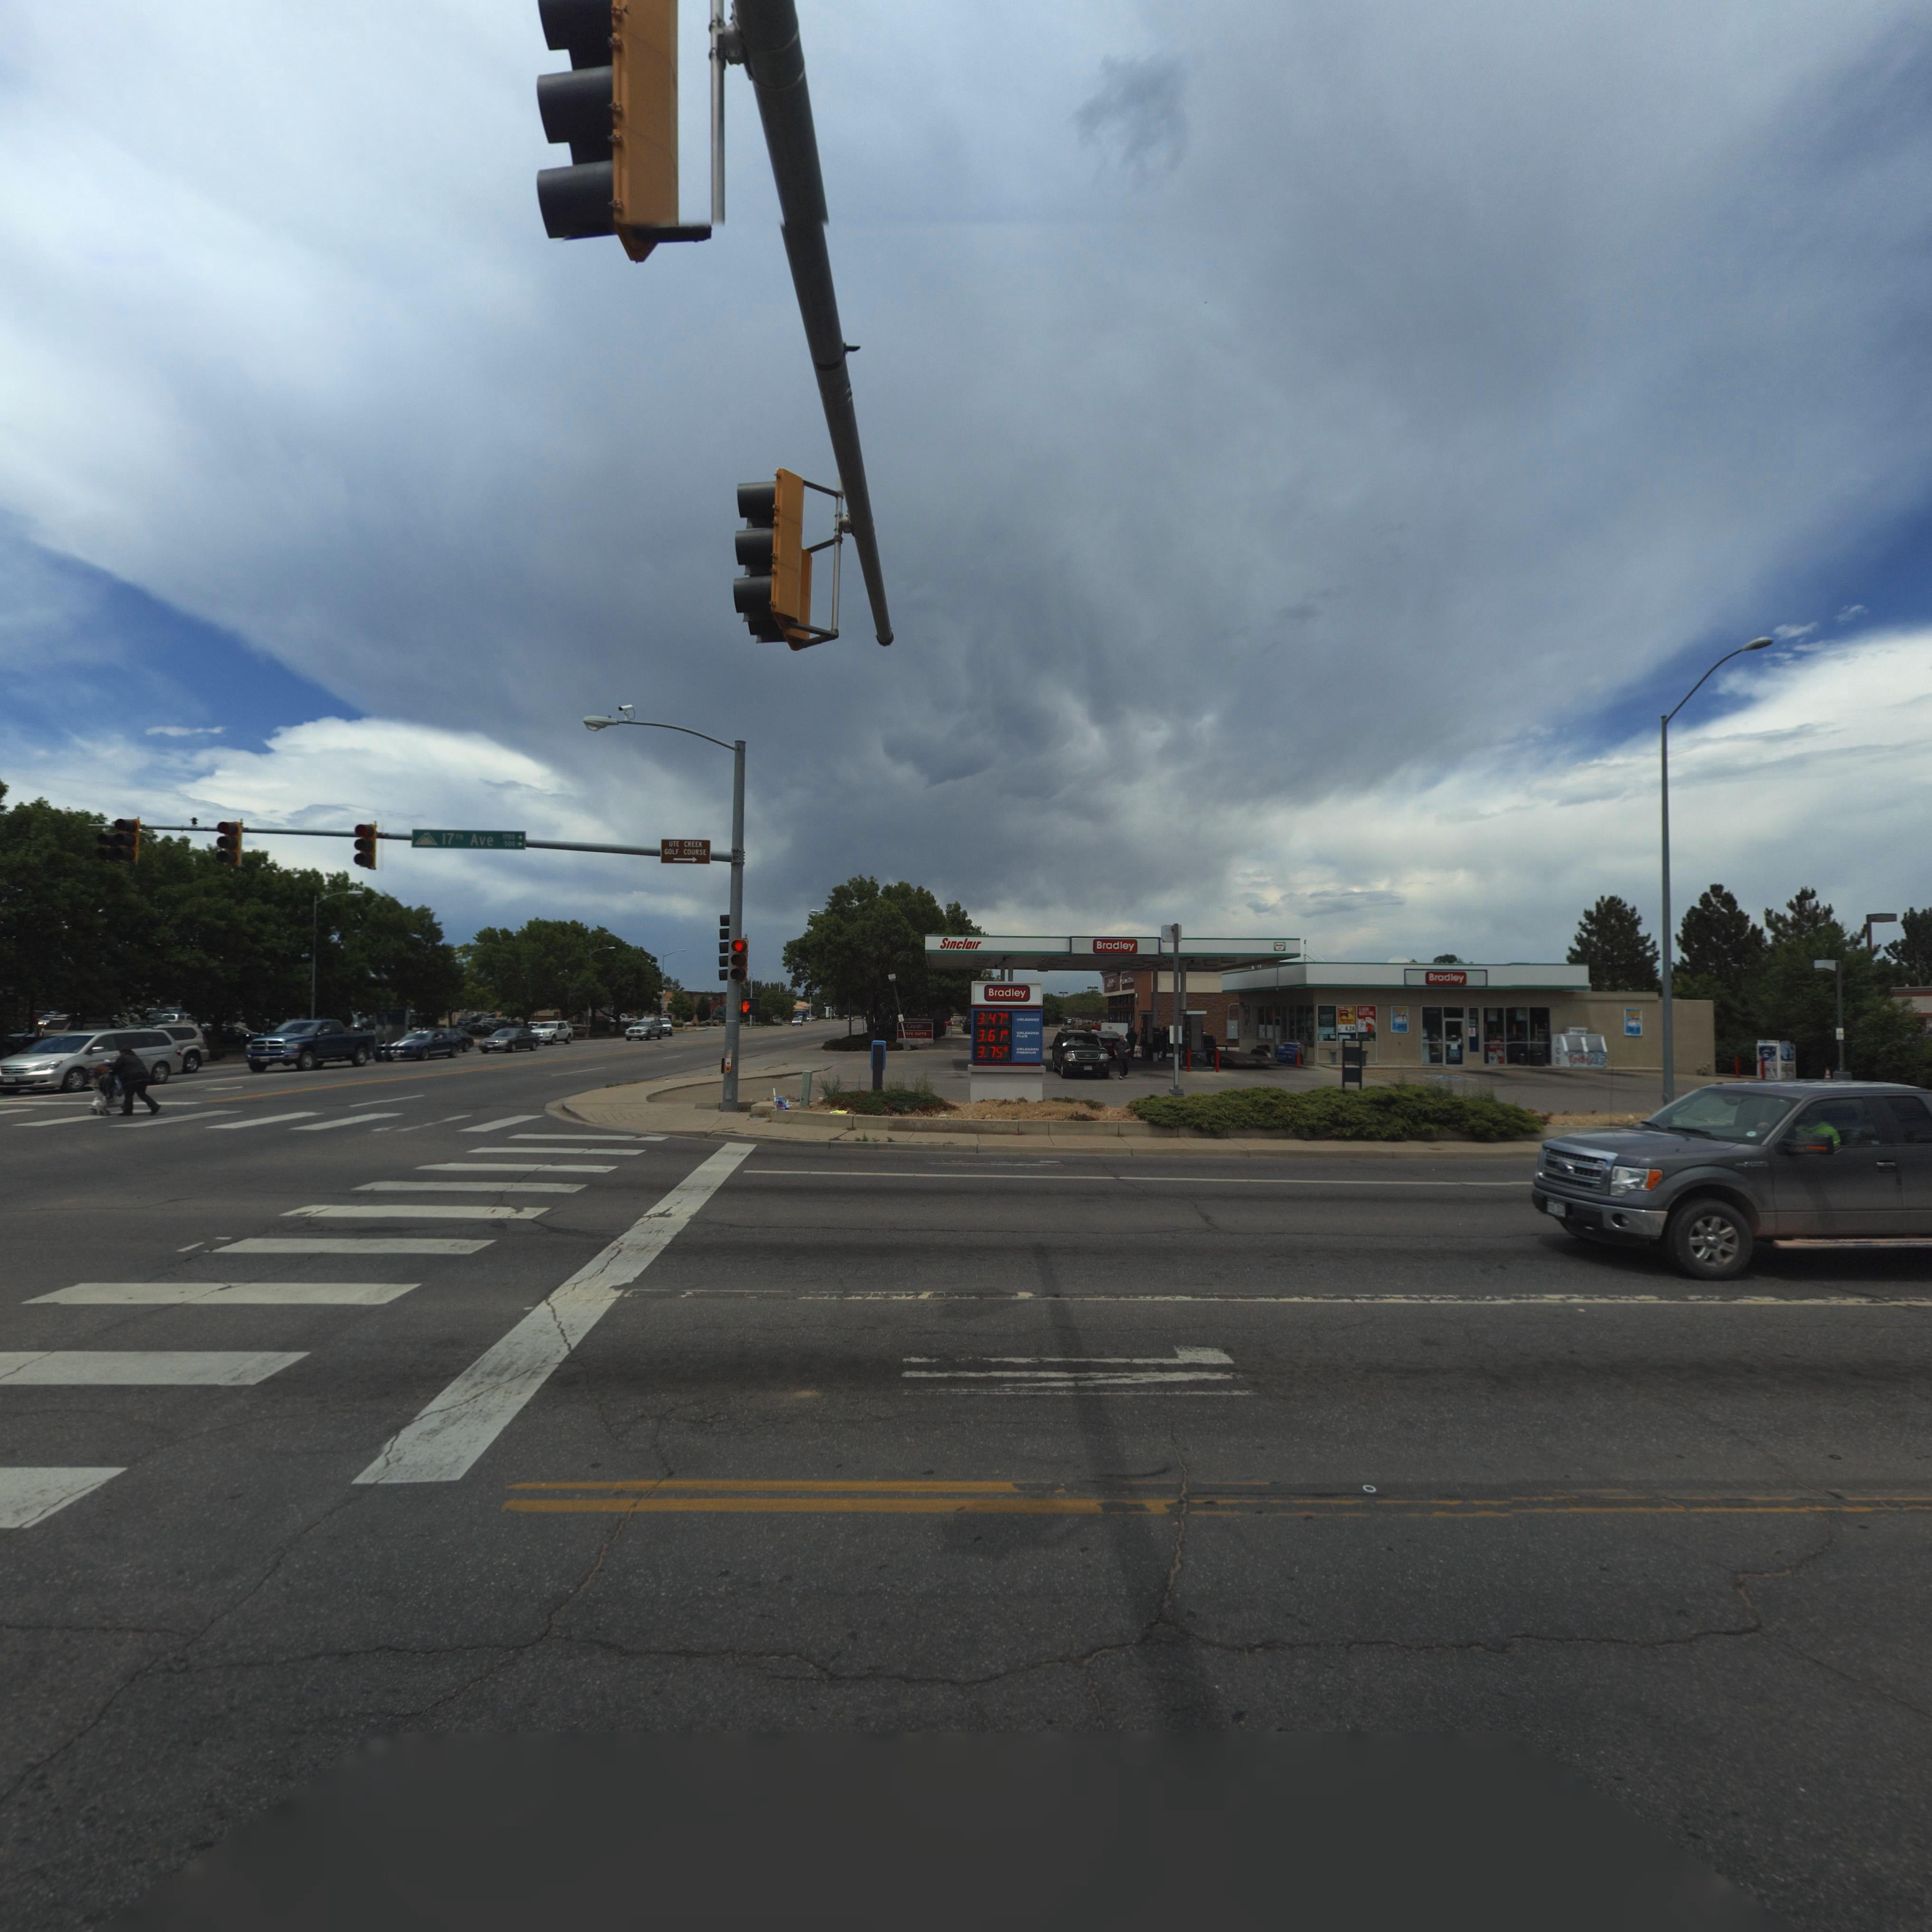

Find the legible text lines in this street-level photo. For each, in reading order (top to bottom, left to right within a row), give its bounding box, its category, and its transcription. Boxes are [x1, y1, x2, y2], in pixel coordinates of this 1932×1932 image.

[441, 832, 494, 846] StreetName: 17** Ave
[502, 833, 516, 840] StreetNumberRange: *7*0
[503, 840, 523, 847] StreetNumberRange: 500*
[939, 937, 982, 949] BusinessName: SInclaIr
[1096, 940, 1135, 952] BusinessName: Bradley
[1428, 973, 1464, 984] BusinessName: Bradley
[988, 988, 1026, 999] BusinessName: Bradley
[906, 1023, 924, 1030] BusinessName: C***o***
[904, 1032, 927, 1035] BusinessName: *IV* *U**